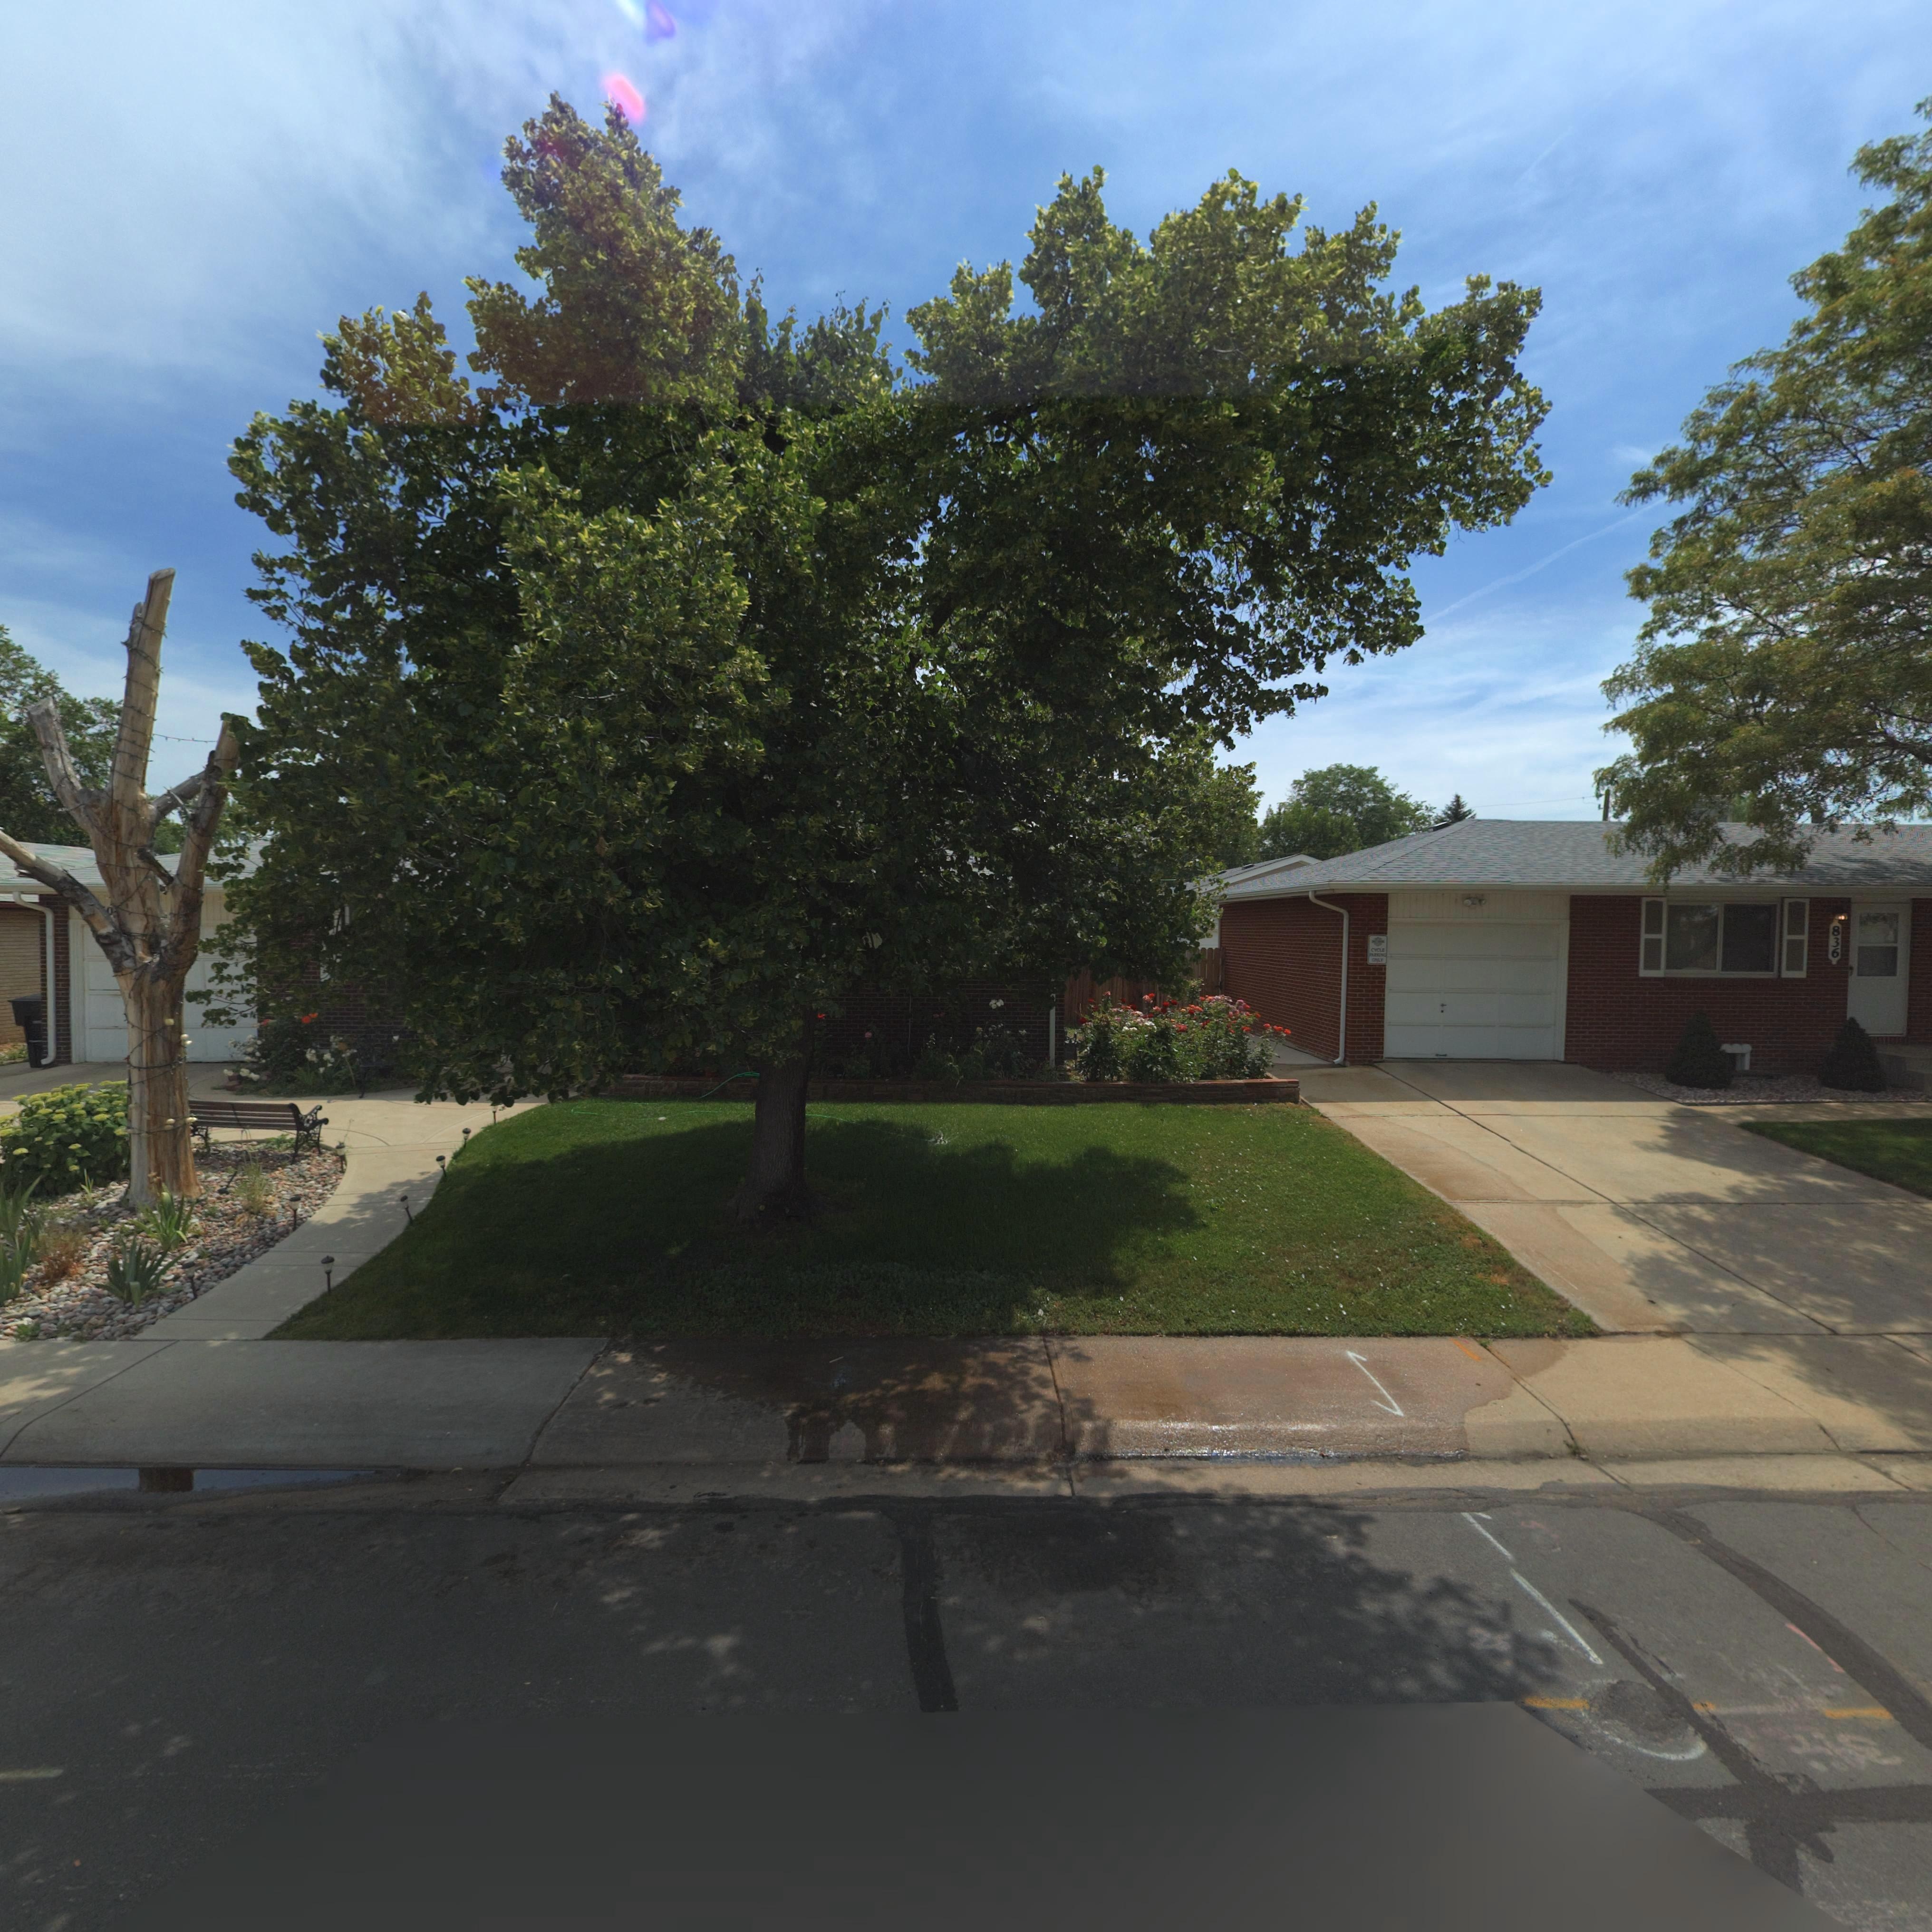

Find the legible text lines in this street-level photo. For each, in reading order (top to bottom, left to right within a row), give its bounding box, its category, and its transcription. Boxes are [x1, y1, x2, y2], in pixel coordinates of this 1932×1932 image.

[1831, 926, 1840, 958] StreetNumber: 836